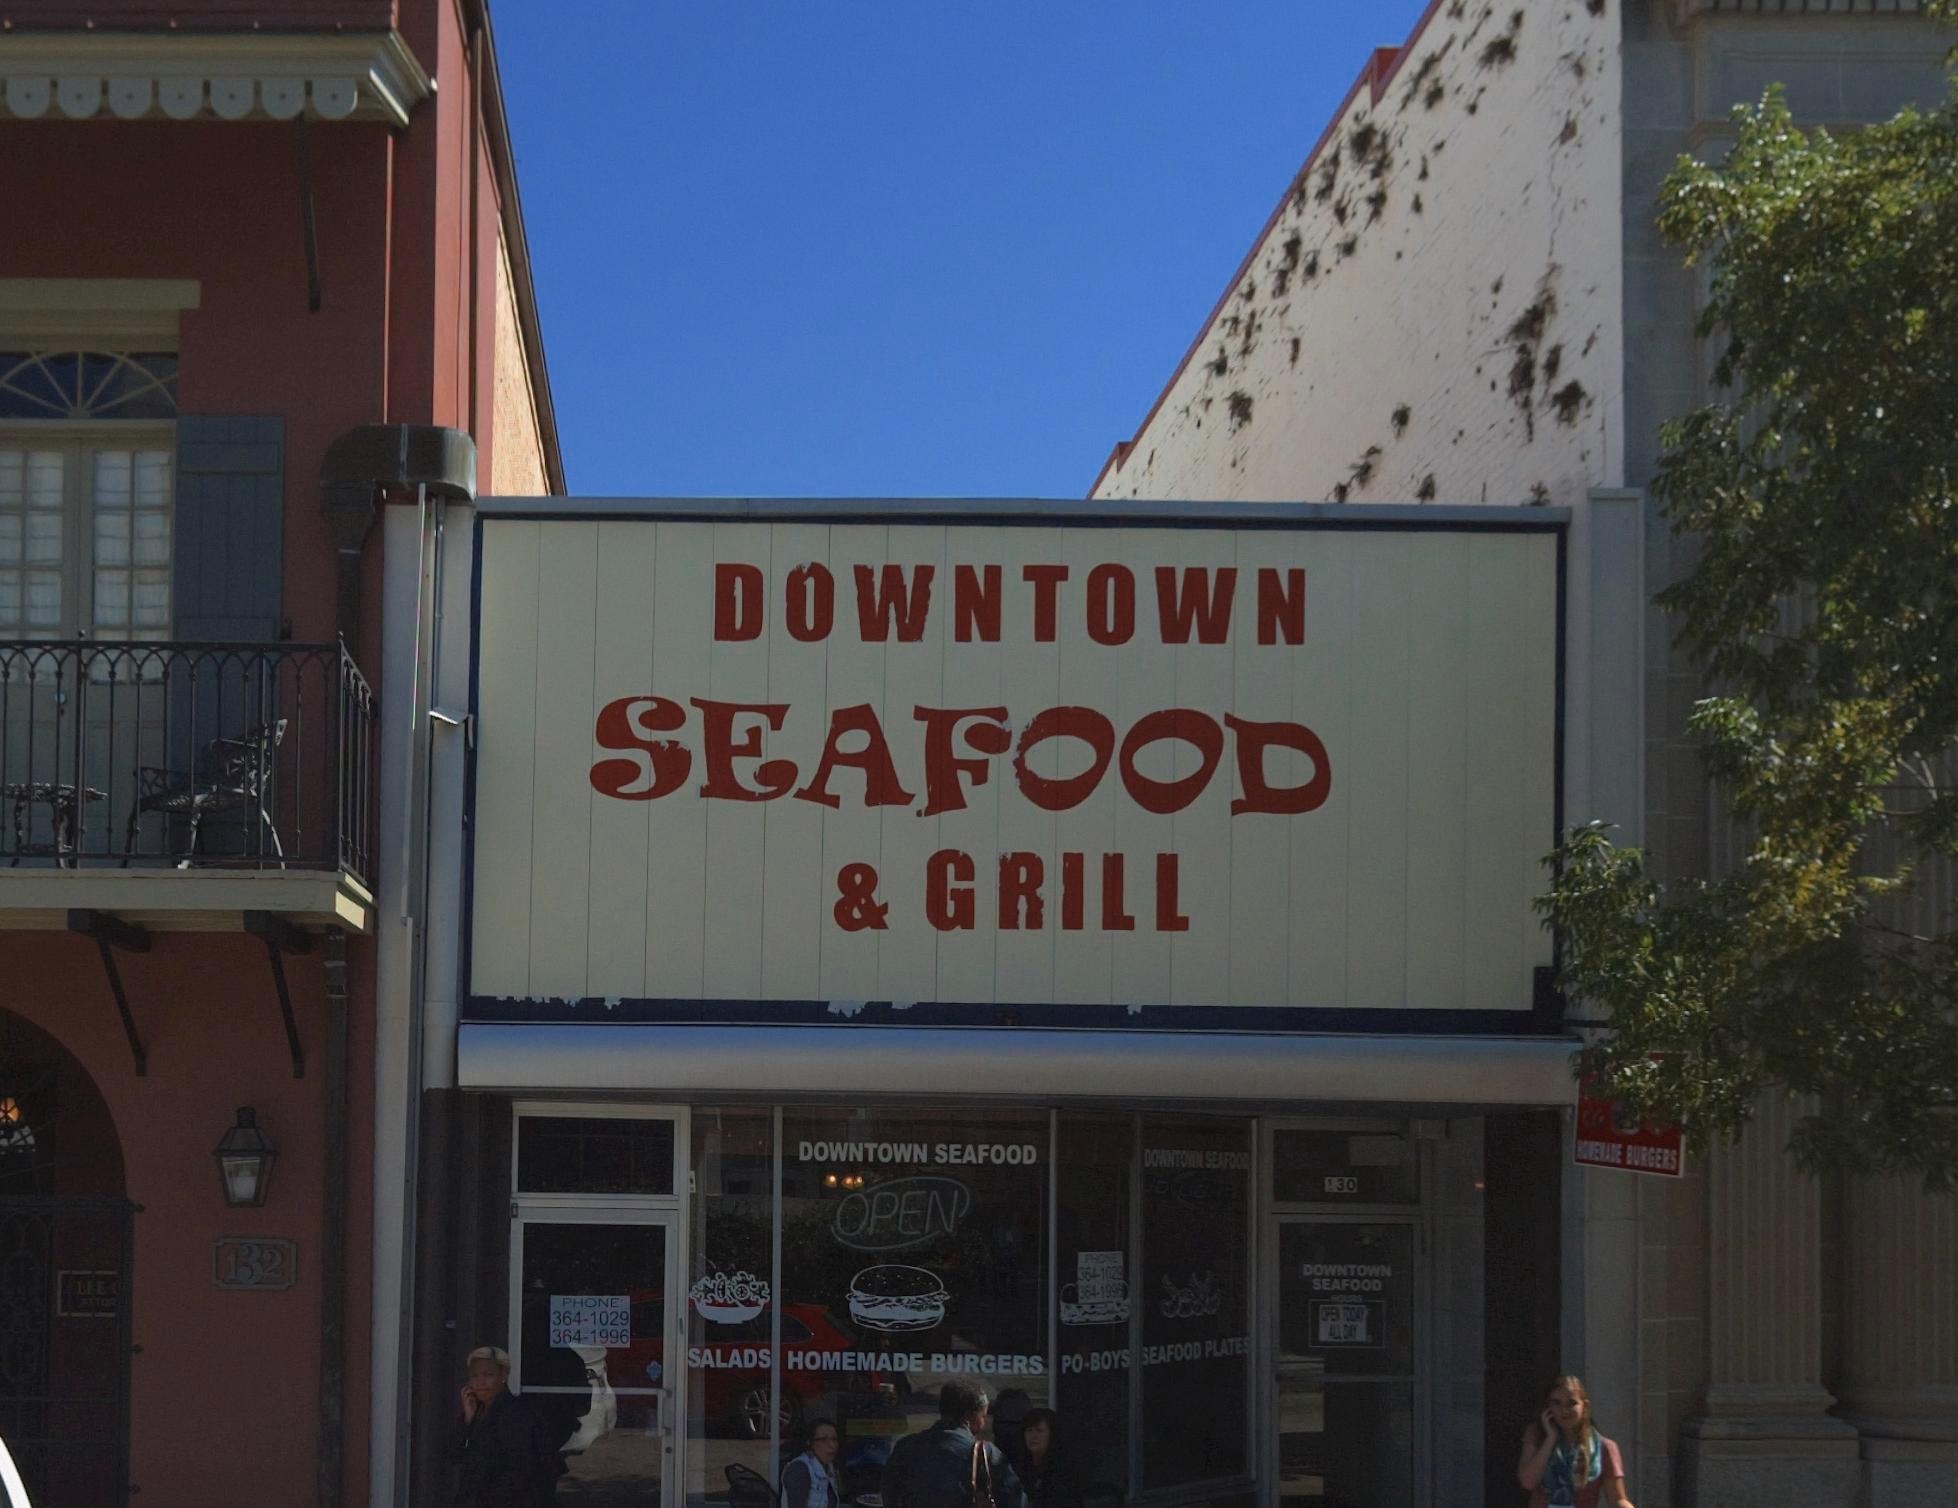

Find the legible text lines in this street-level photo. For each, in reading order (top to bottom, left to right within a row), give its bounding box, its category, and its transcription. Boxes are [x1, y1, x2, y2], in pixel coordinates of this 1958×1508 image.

[710, 558, 1309, 650] BusinessName: DOWNTOWN
[584, 688, 1336, 822] BusinessName: SEAFOOD
[922, 844, 1196, 939] BusinessName: GRILL
[796, 1137, 1041, 1169] BusinessName: DOWNTOWN SEAFOOD
[1142, 1146, 1253, 1171] BusinessName: DOWNTOWN SEAFOOD
[1623, 1141, 1681, 1174] None: BURGERS
[1149, 1176, 1191, 1200] None: D*L
[1324, 1175, 1359, 1194] StreetNumber: *30
[832, 1186, 962, 1242] None: OPEN
[75, 1277, 109, 1298] None: L*E
[222, 1240, 287, 1289] StreetNumber: 132
[1076, 1263, 1126, 1284] None: 364-1*29
[1077, 1281, 1125, 1303] None: 364-199*
[1083, 1251, 1121, 1265] None: PHONE
[1301, 1261, 1394, 1279] BusinessName: DOWNTOWN
[1311, 1276, 1385, 1293] BusinessName: SEAFOOD
[551, 1309, 631, 1329] None: 364-1029
[561, 1296, 625, 1311] None: PONE:
[1318, 1303, 1367, 1324] None: OPEN *O*A*
[550, 1327, 631, 1347] None: 364-1996
[1325, 1322, 1361, 1342] None: ALL D**
[685, 1345, 1046, 1377] None: SALADS* HOMEMADE BURGERS
[1059, 1332, 1254, 1378] None: PO-BOYS**EAFOOD PLATE*